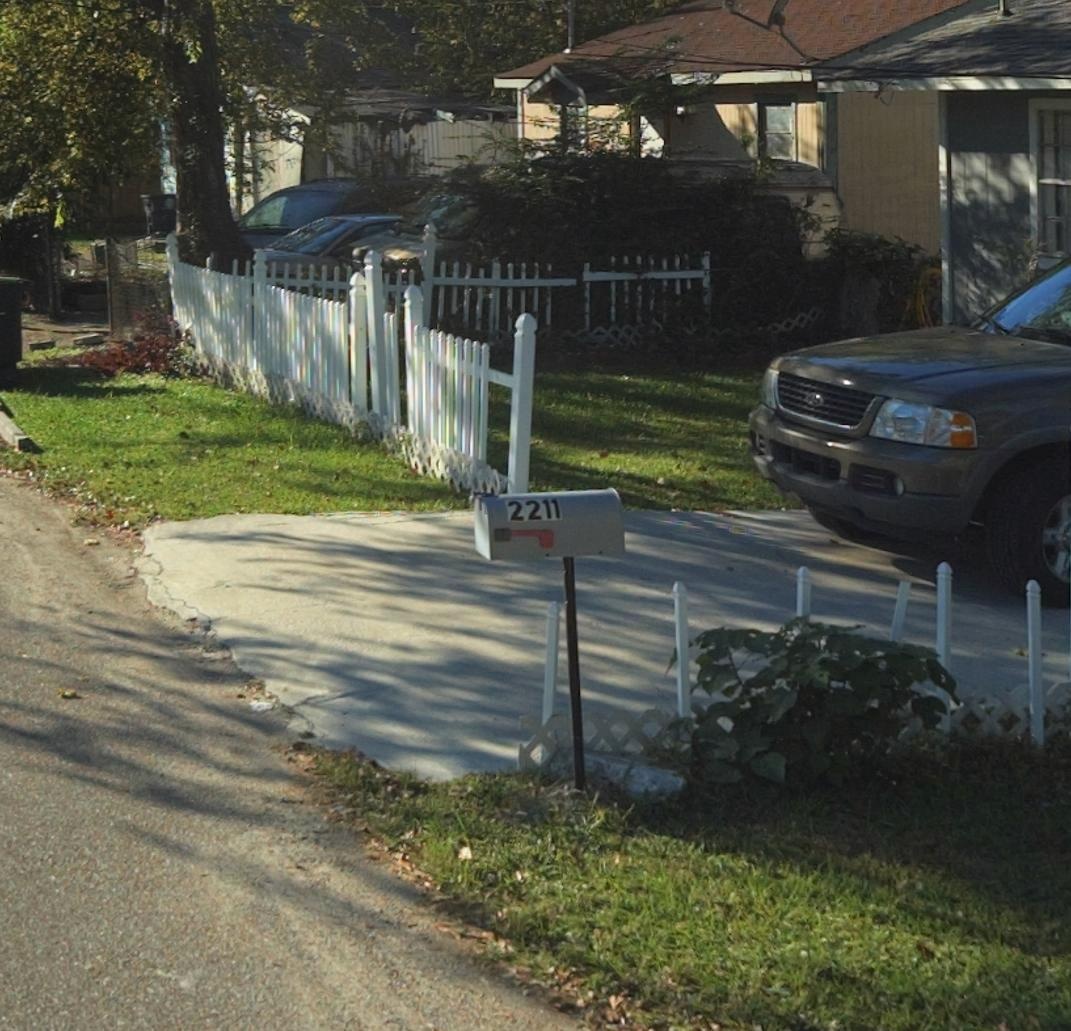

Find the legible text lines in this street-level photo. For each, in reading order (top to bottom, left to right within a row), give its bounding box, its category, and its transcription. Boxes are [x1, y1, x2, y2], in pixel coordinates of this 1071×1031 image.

[506, 497, 563, 523] StreetNumber: 2211